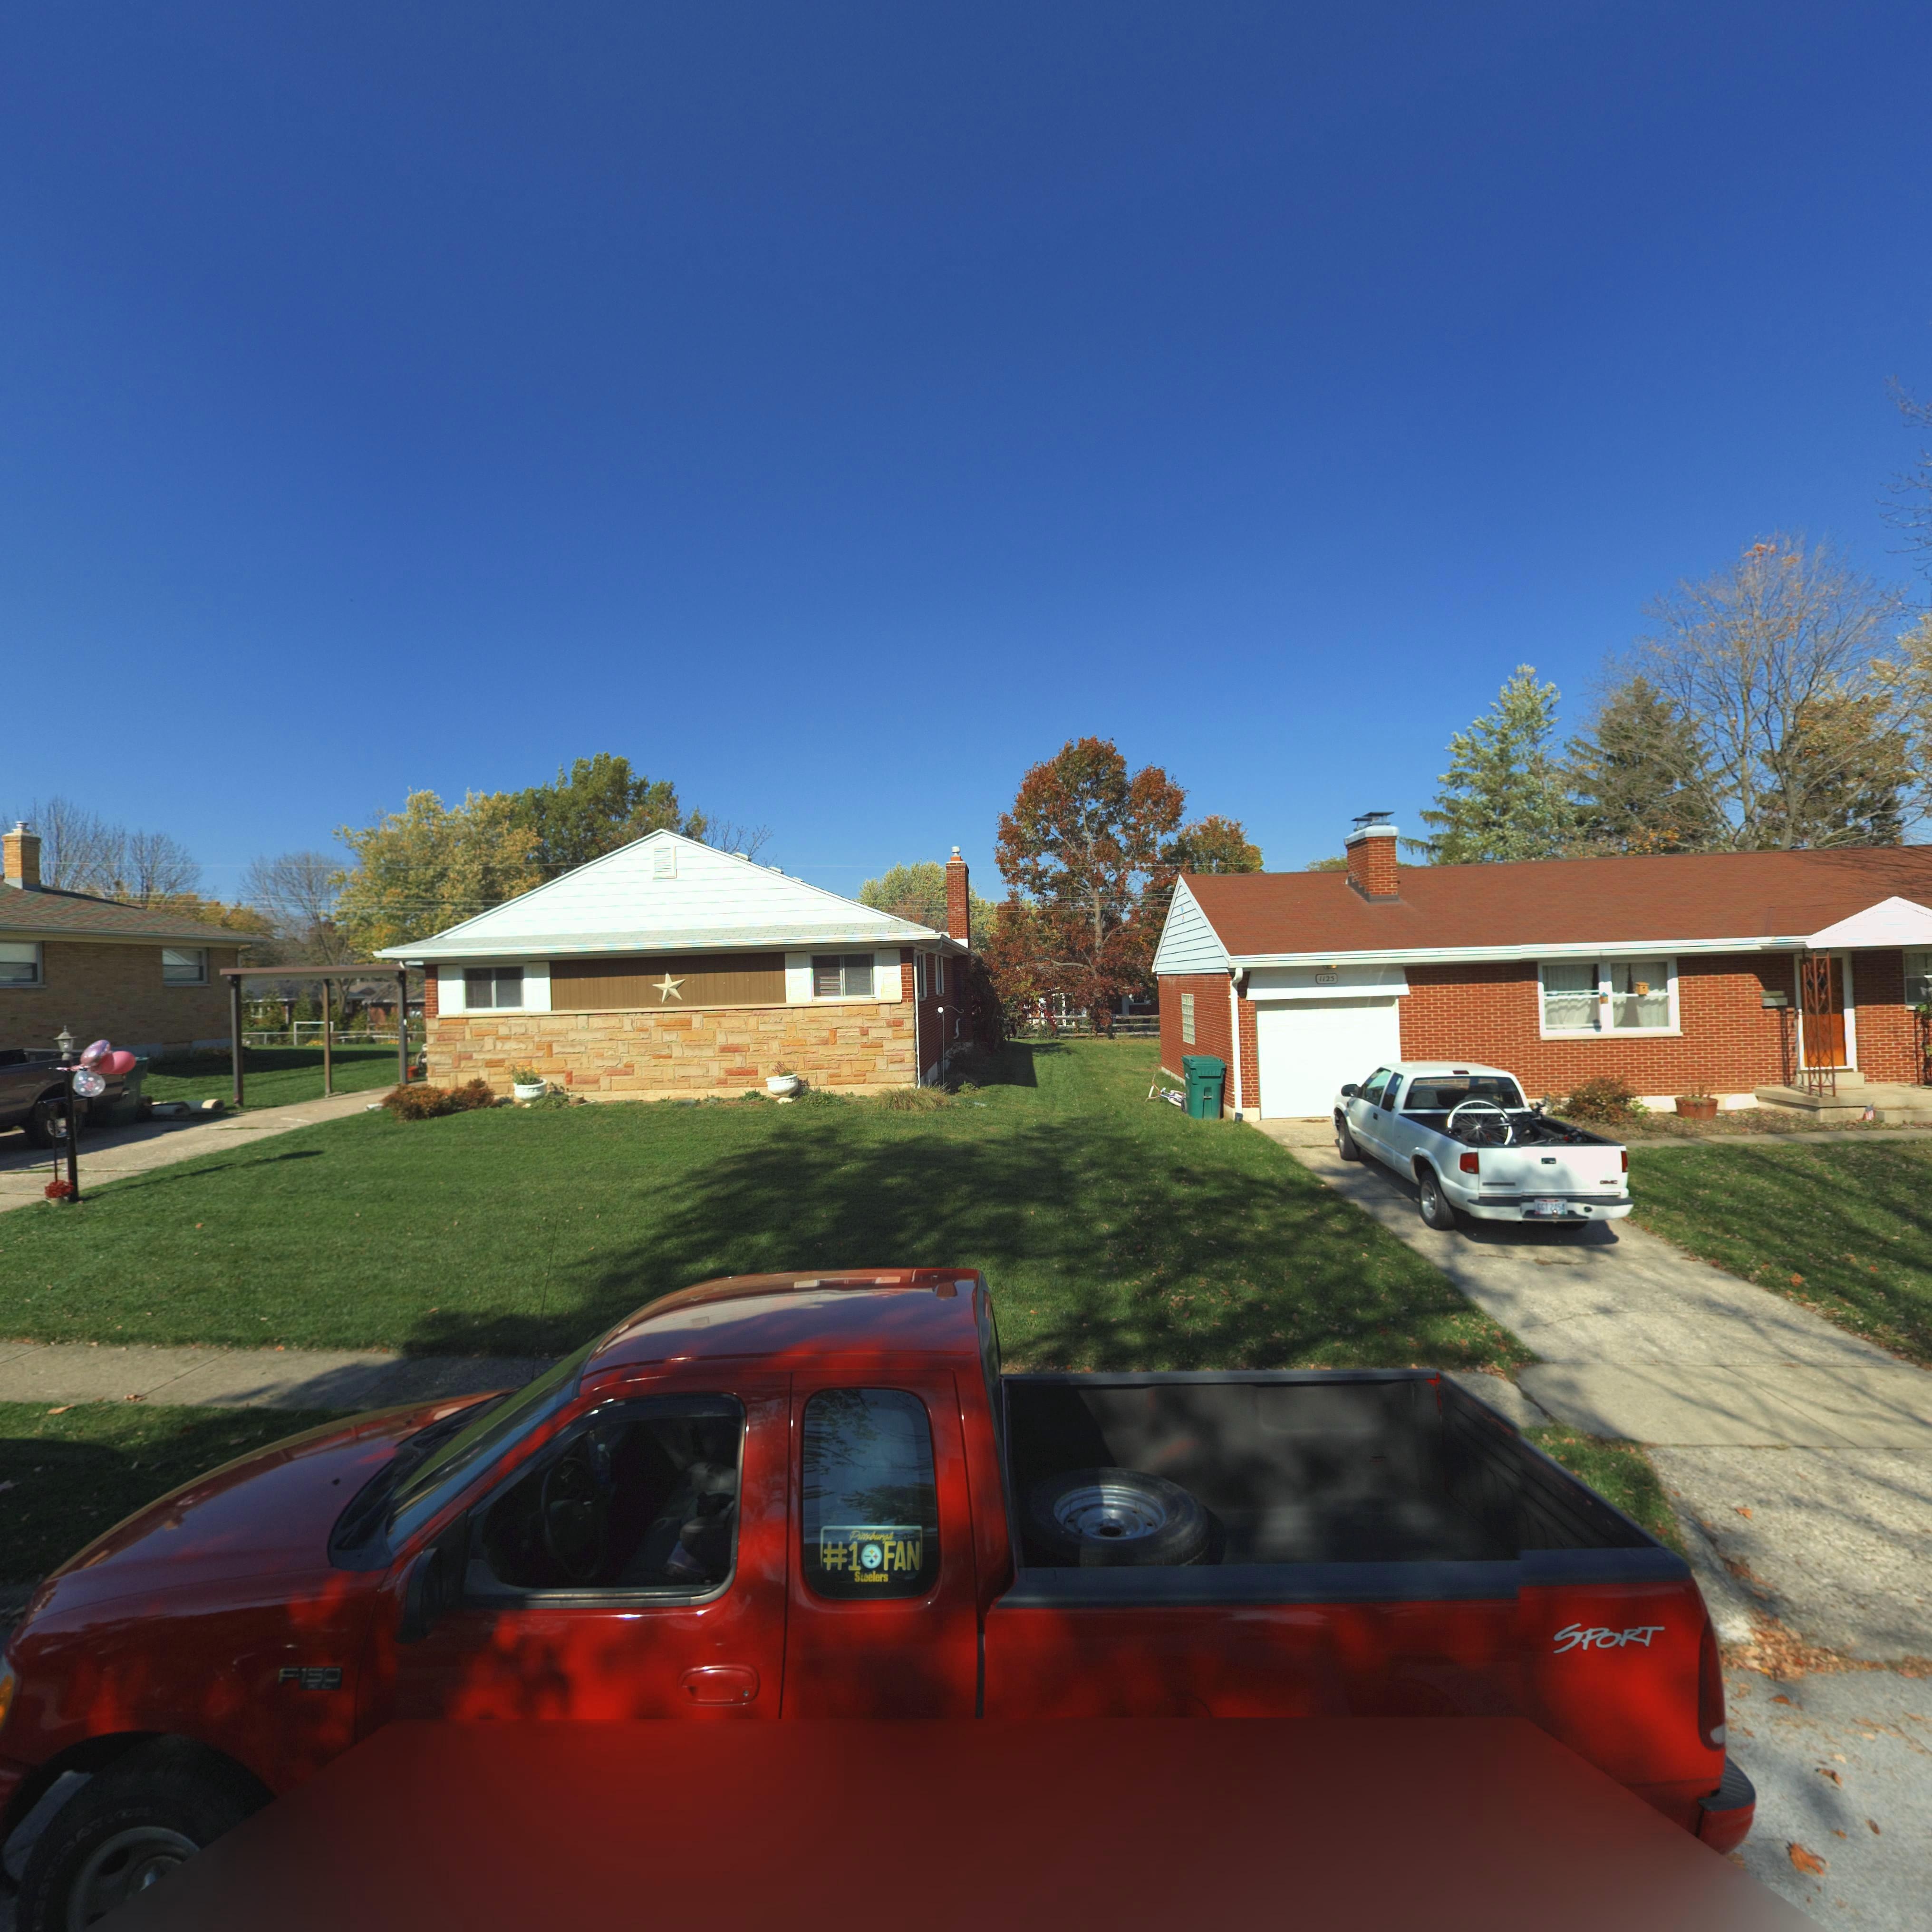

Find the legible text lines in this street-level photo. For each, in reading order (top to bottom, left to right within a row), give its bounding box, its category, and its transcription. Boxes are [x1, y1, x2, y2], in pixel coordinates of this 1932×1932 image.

[1318, 974, 1336, 983] StreetNumber: 1125